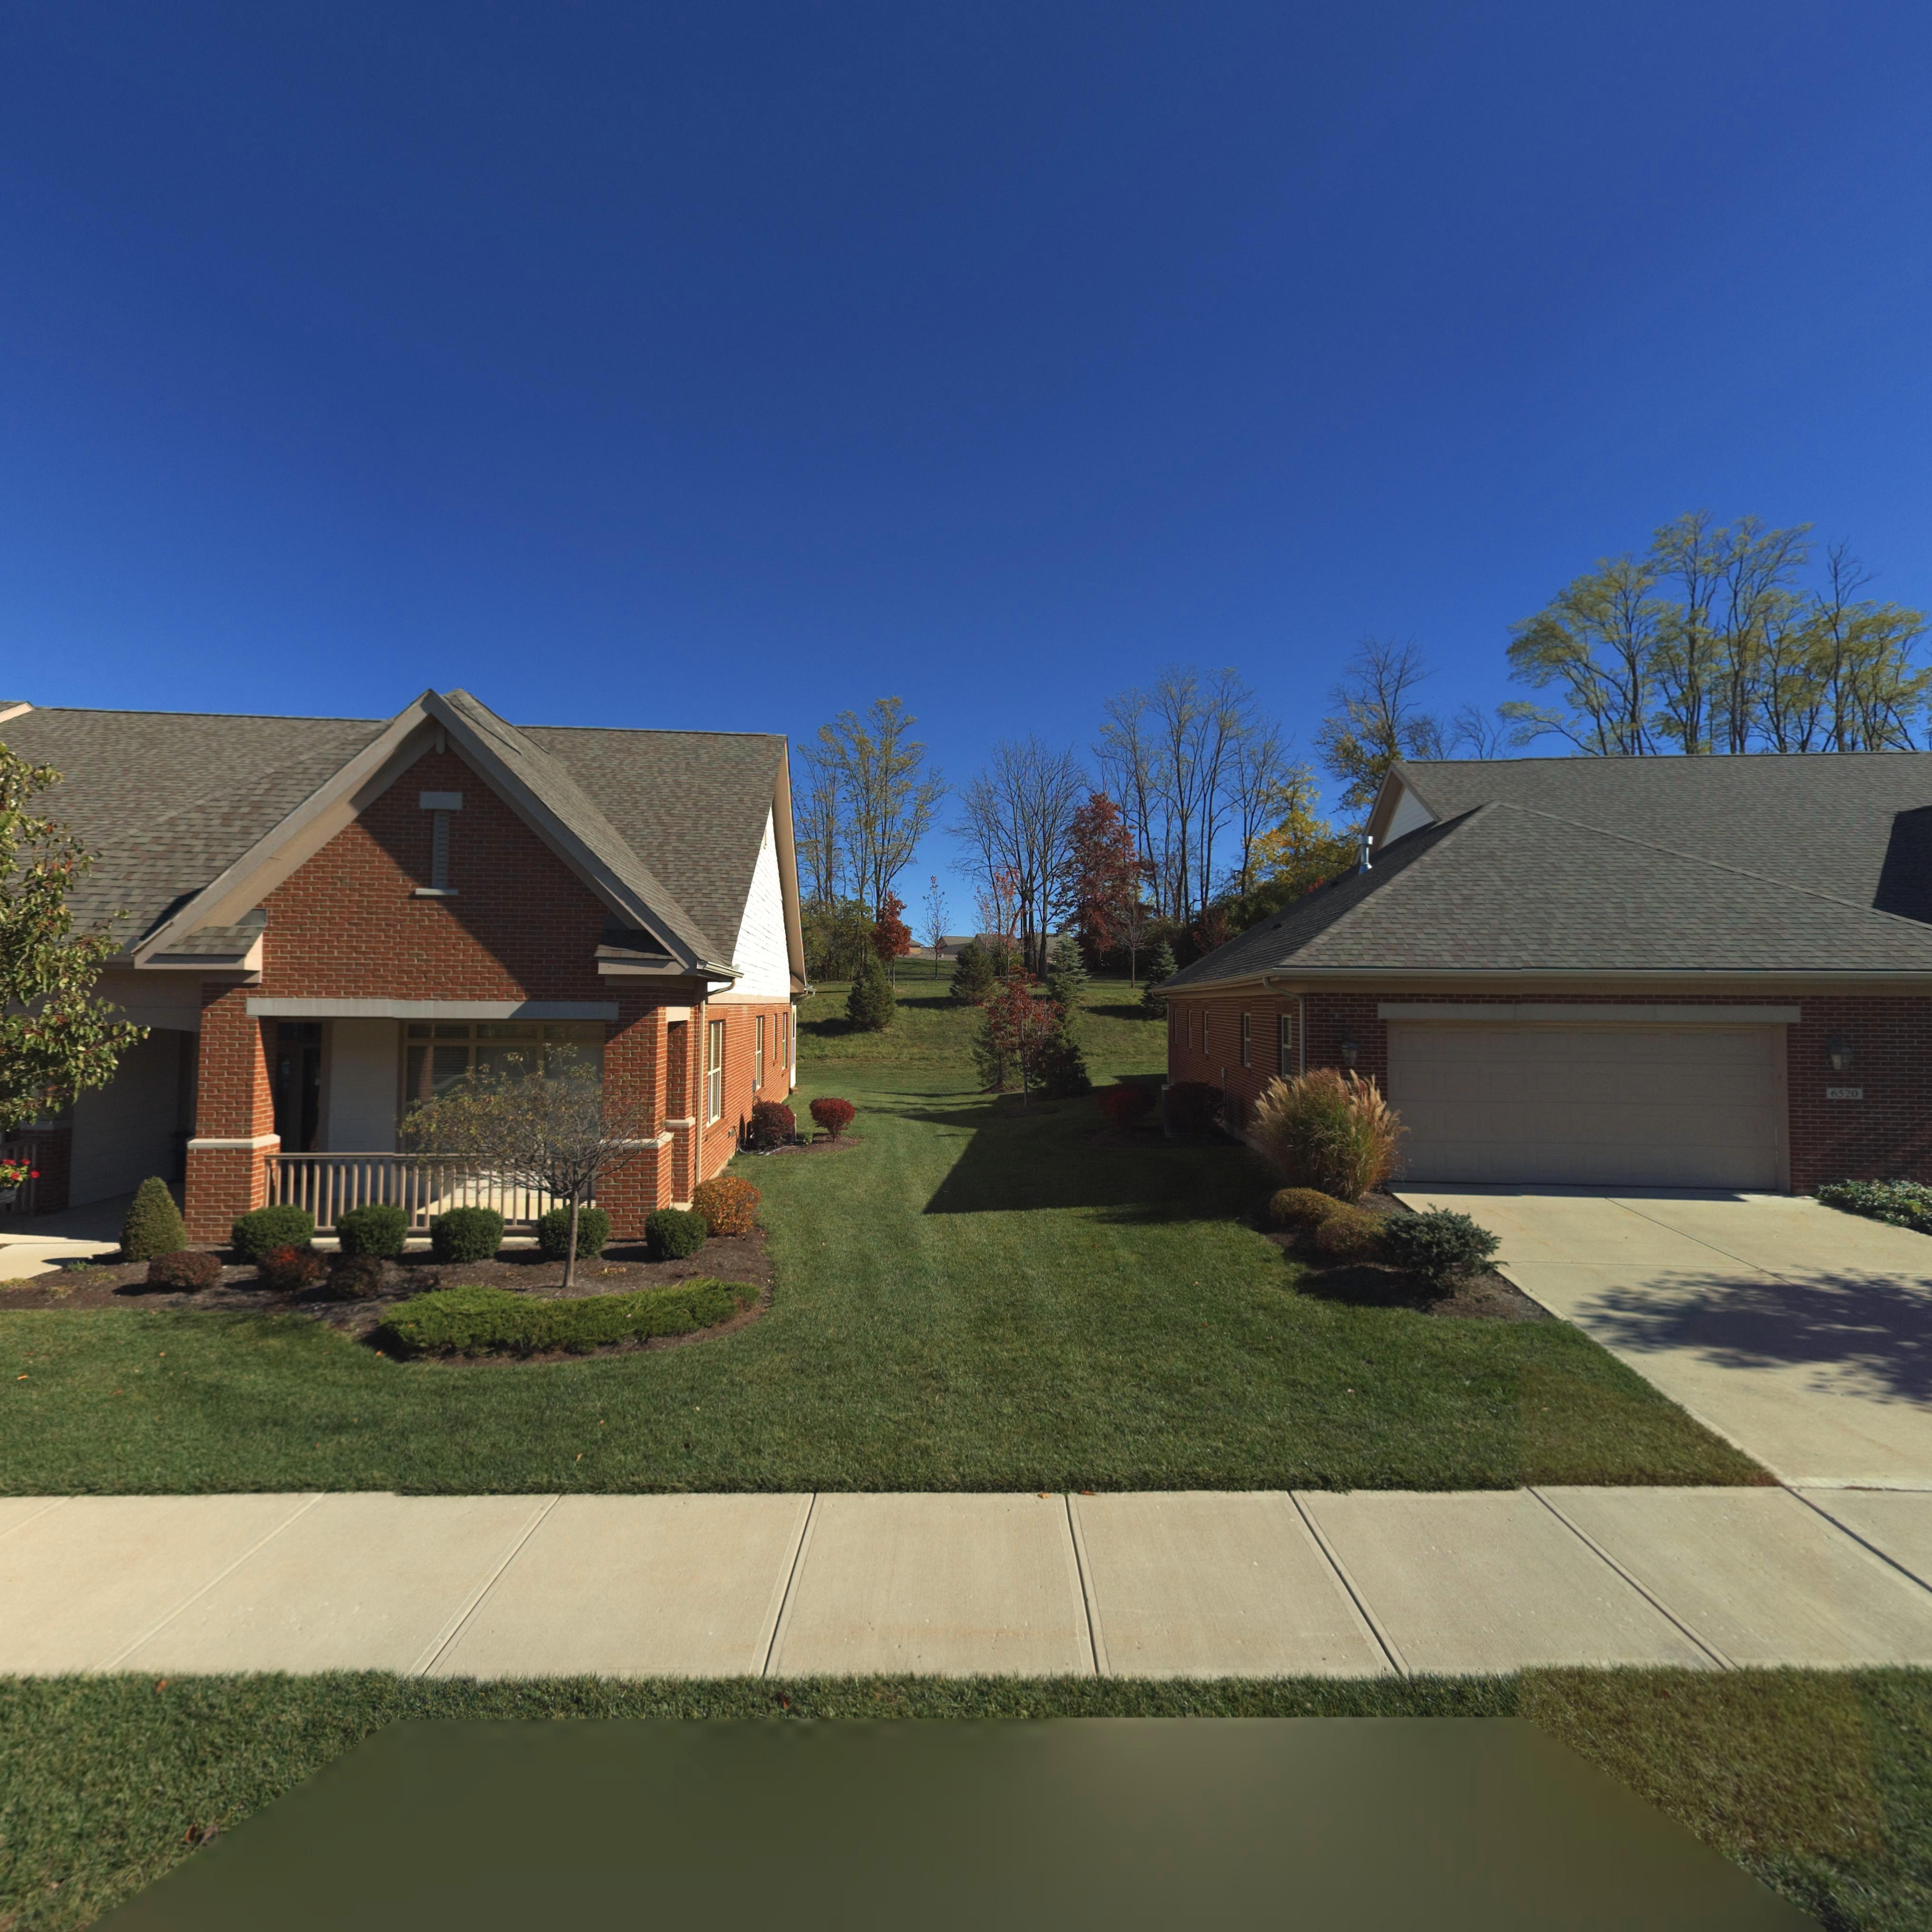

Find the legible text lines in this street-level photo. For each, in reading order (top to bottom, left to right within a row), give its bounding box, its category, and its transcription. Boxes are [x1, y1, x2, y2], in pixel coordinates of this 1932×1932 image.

[1830, 1088, 1859, 1098] StreetNumber: 6520